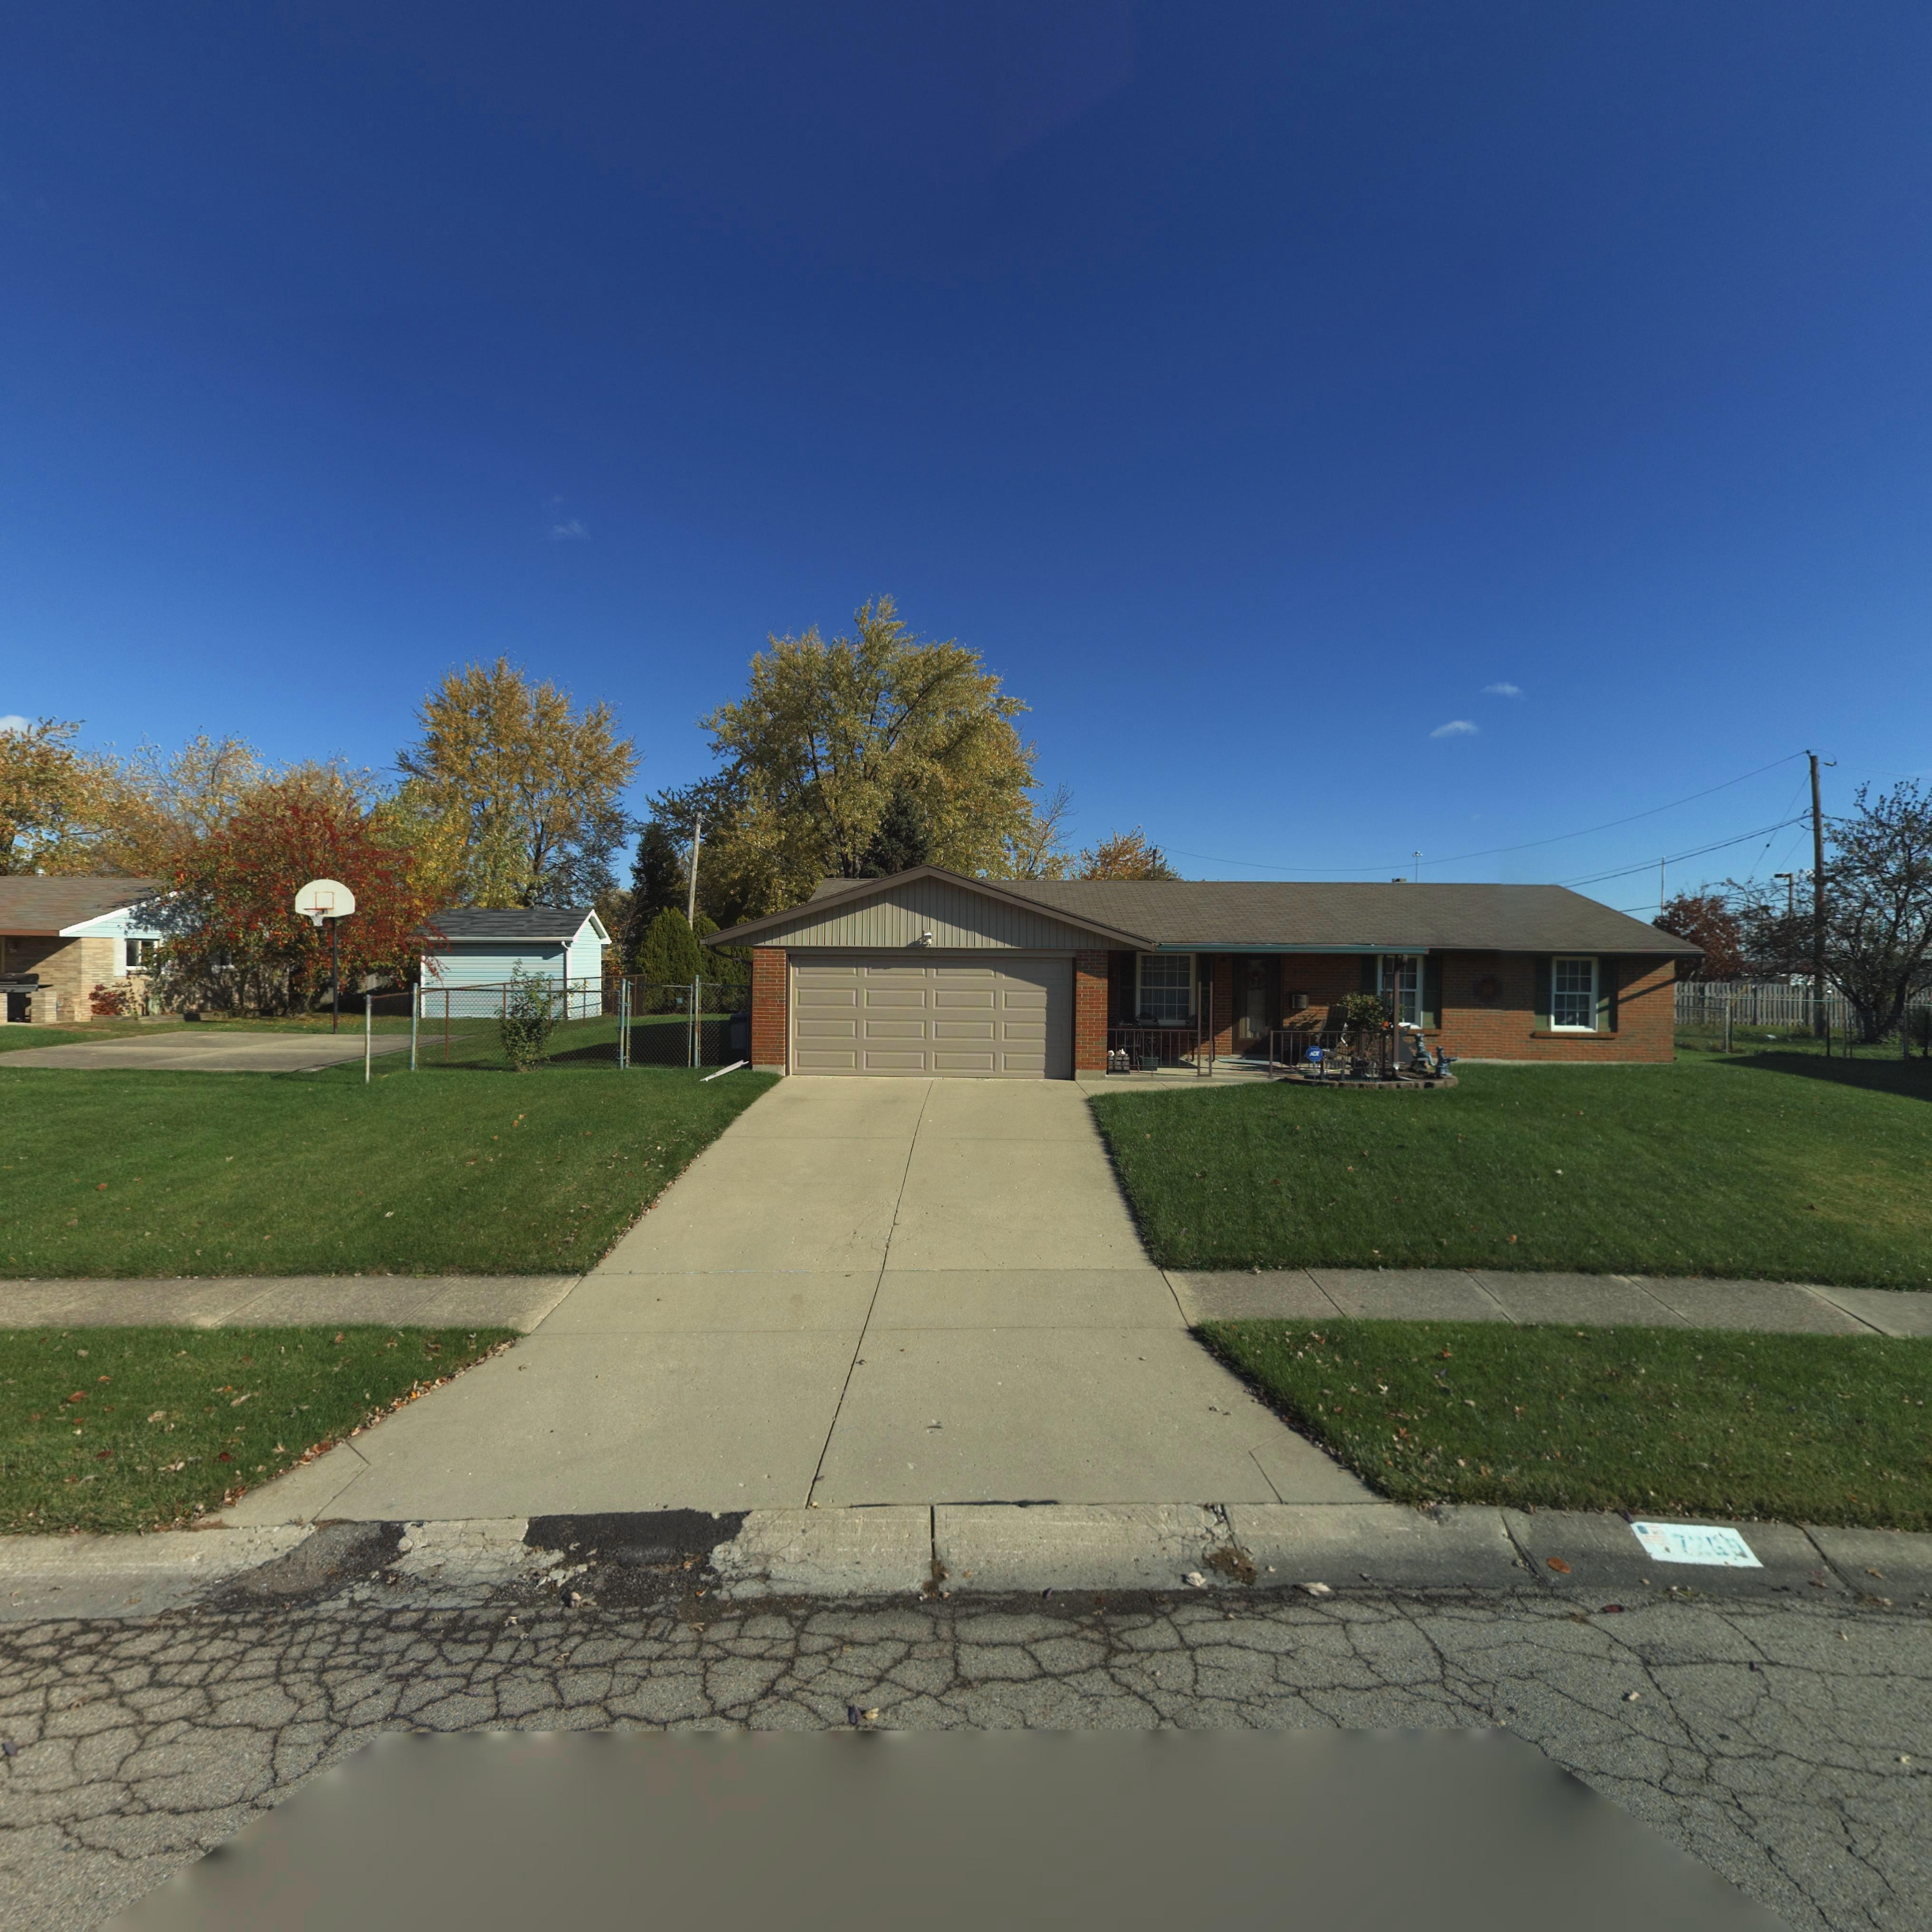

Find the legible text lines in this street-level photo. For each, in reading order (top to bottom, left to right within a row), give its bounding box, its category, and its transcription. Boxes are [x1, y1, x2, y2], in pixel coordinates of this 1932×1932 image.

[917, 947, 944, 957] StreetNumber: 72**
[1324, 1061, 1342, 1070] StreetNumber: 7269
[1669, 1532, 1750, 1559] StreetNumber: 7***